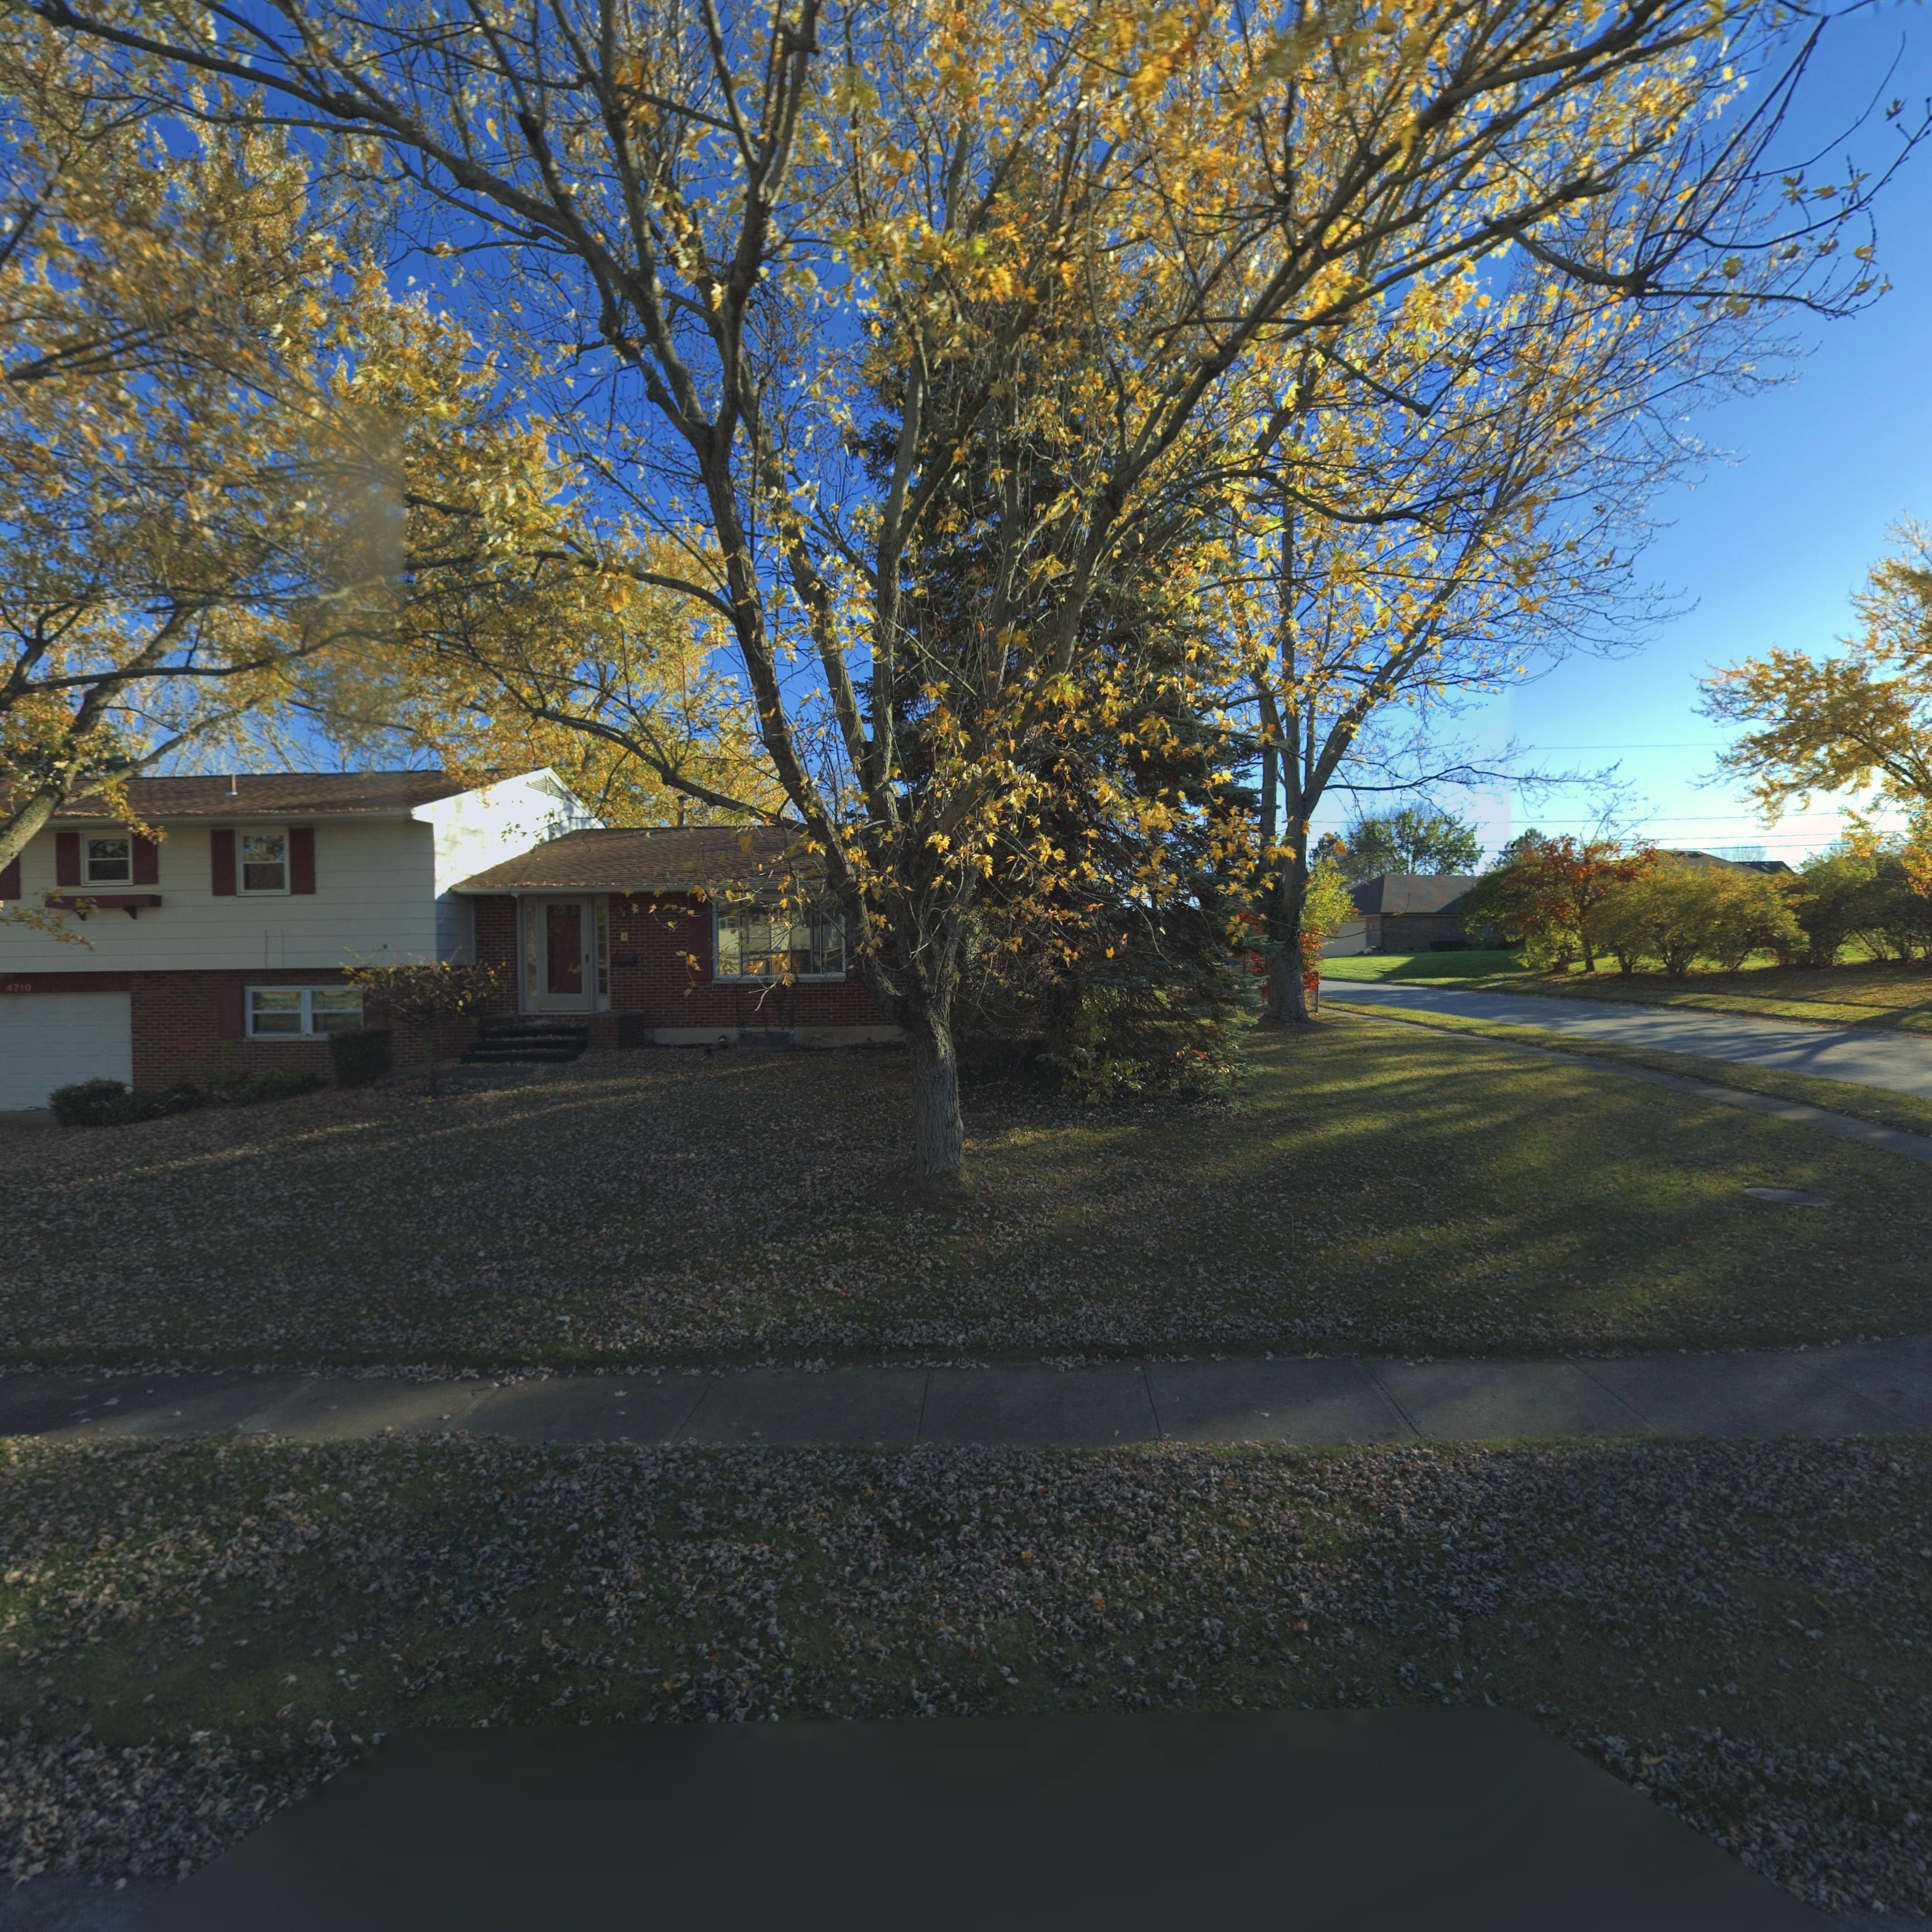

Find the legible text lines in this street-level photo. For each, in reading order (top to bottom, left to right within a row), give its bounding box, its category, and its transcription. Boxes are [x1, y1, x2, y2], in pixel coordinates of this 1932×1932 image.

[5, 983, 33, 993] StreetNumber: 4710